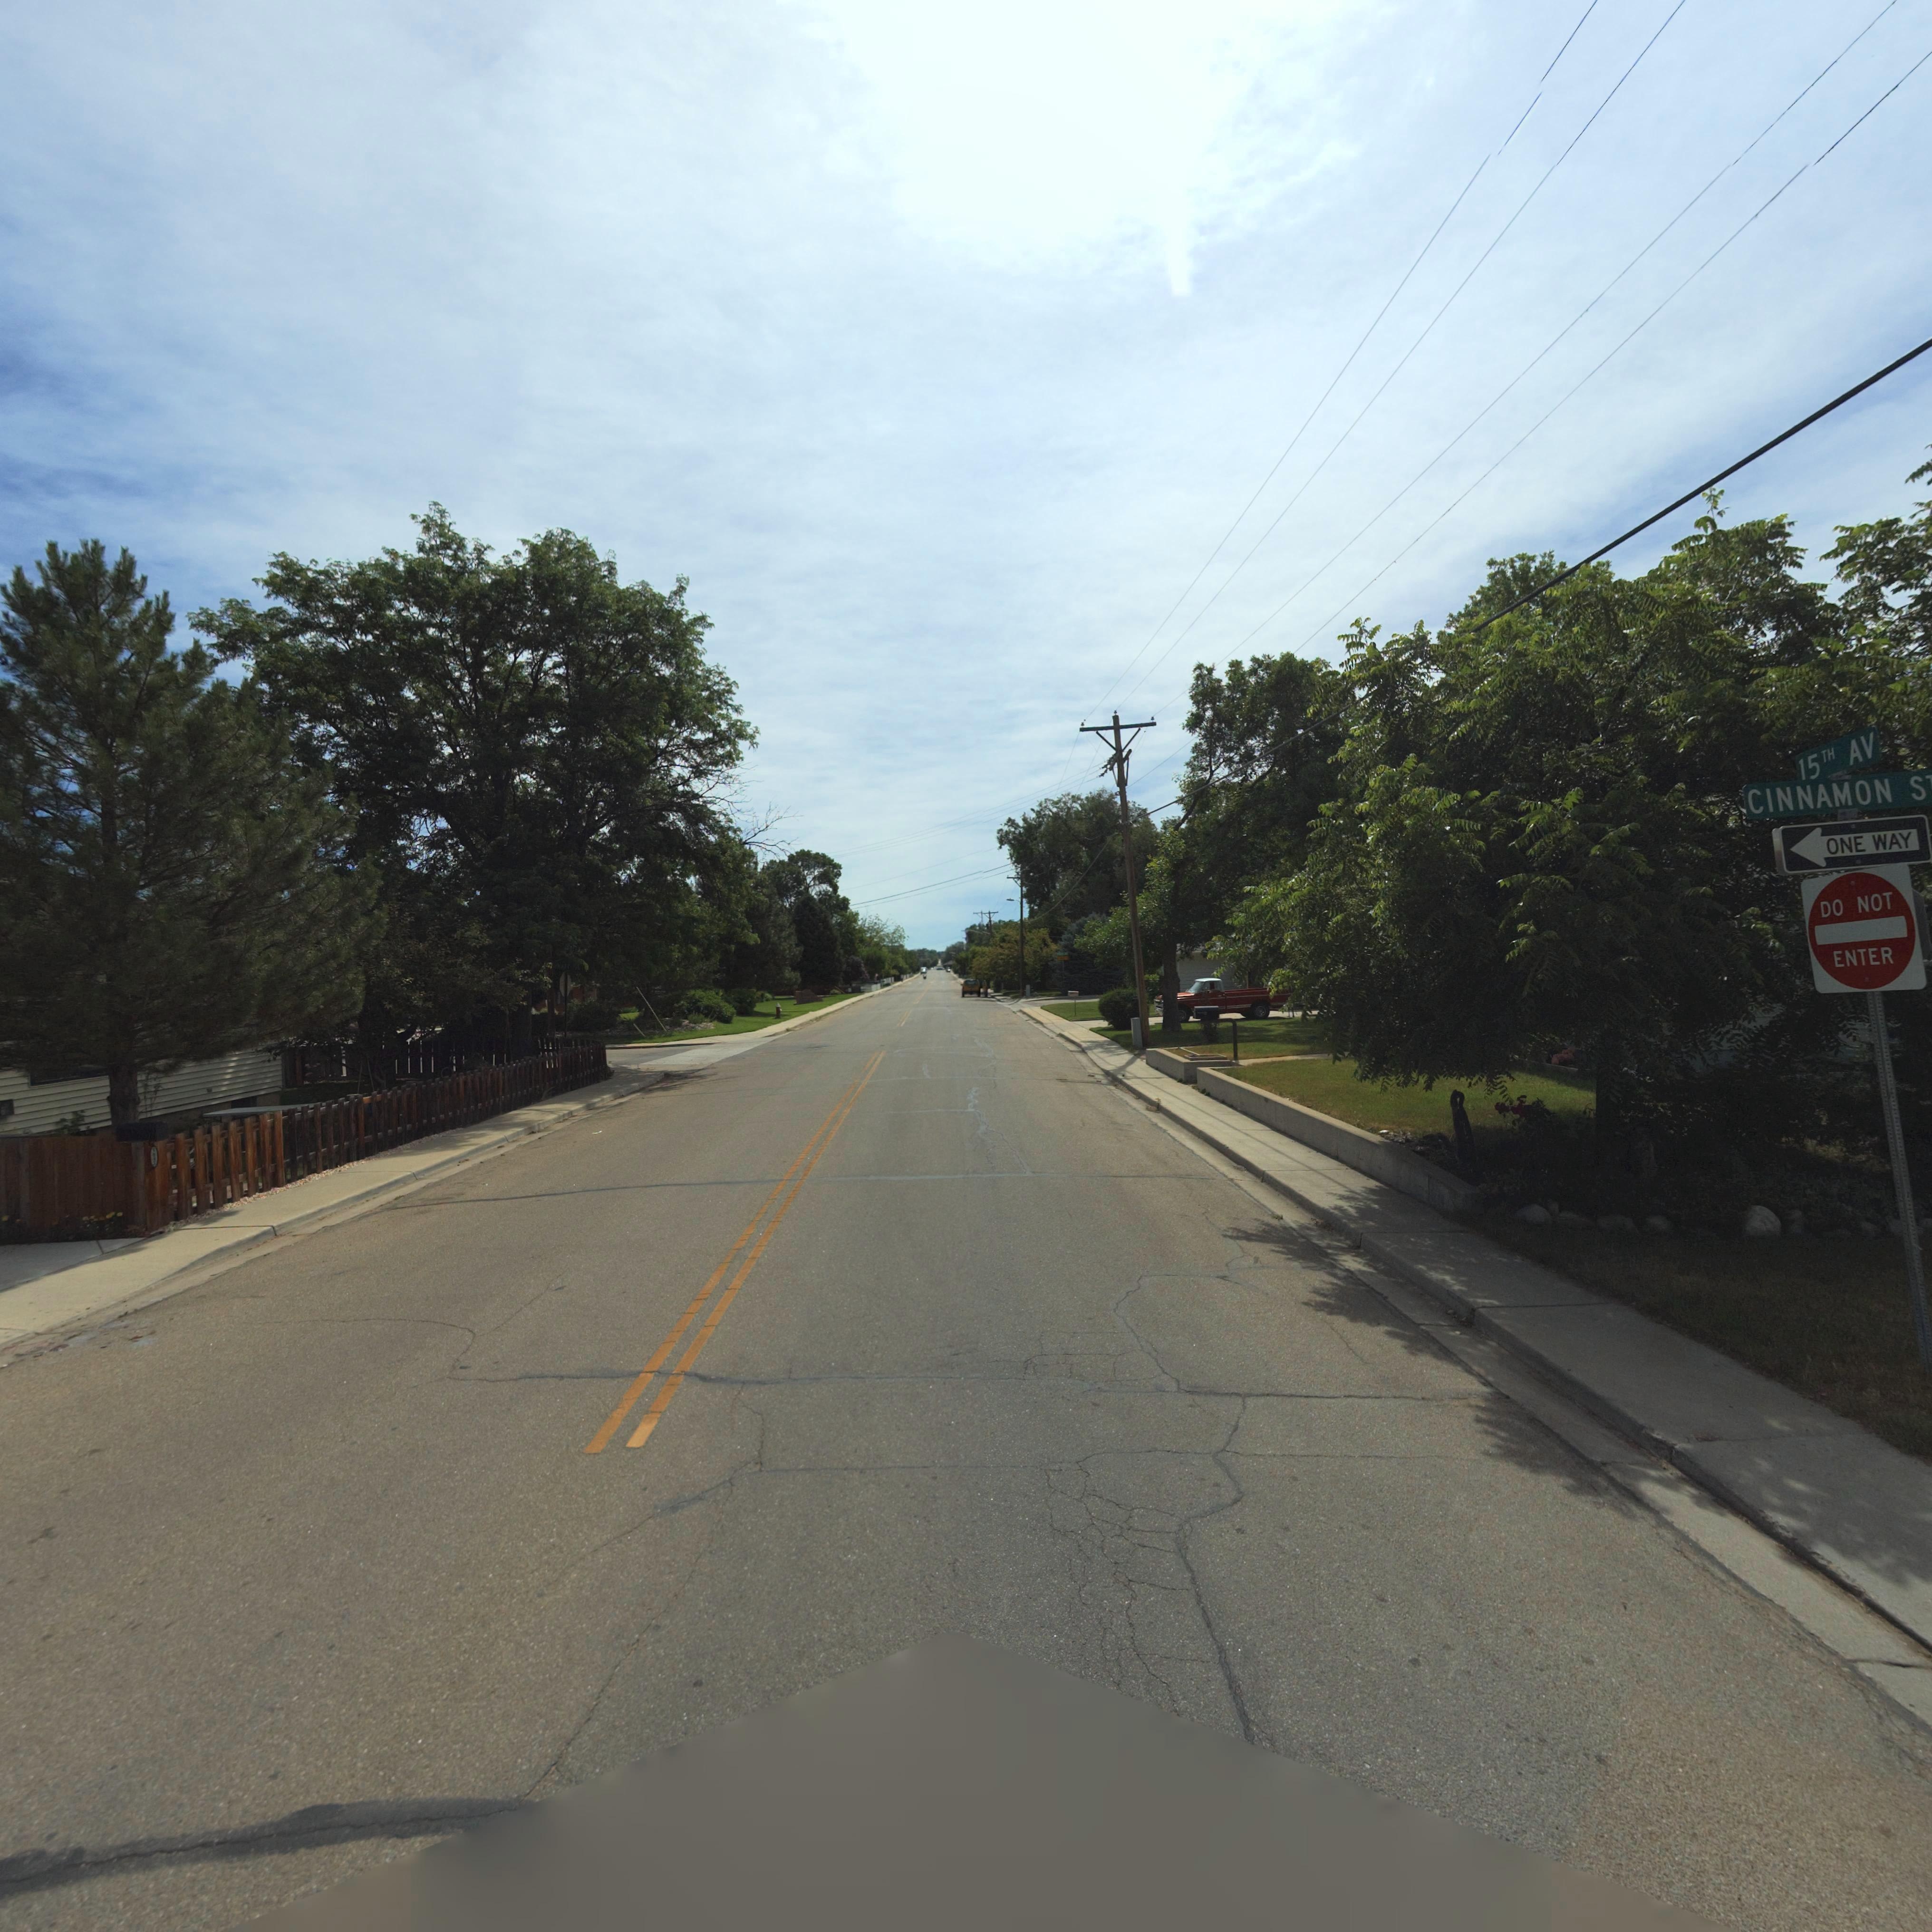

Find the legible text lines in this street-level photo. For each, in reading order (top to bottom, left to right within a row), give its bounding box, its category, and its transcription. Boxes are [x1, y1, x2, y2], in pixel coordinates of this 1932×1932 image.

[1797, 730, 1874, 782] StreetName: 15TH AV
[1747, 773, 1927, 815] StreetName: CINNAMON S*